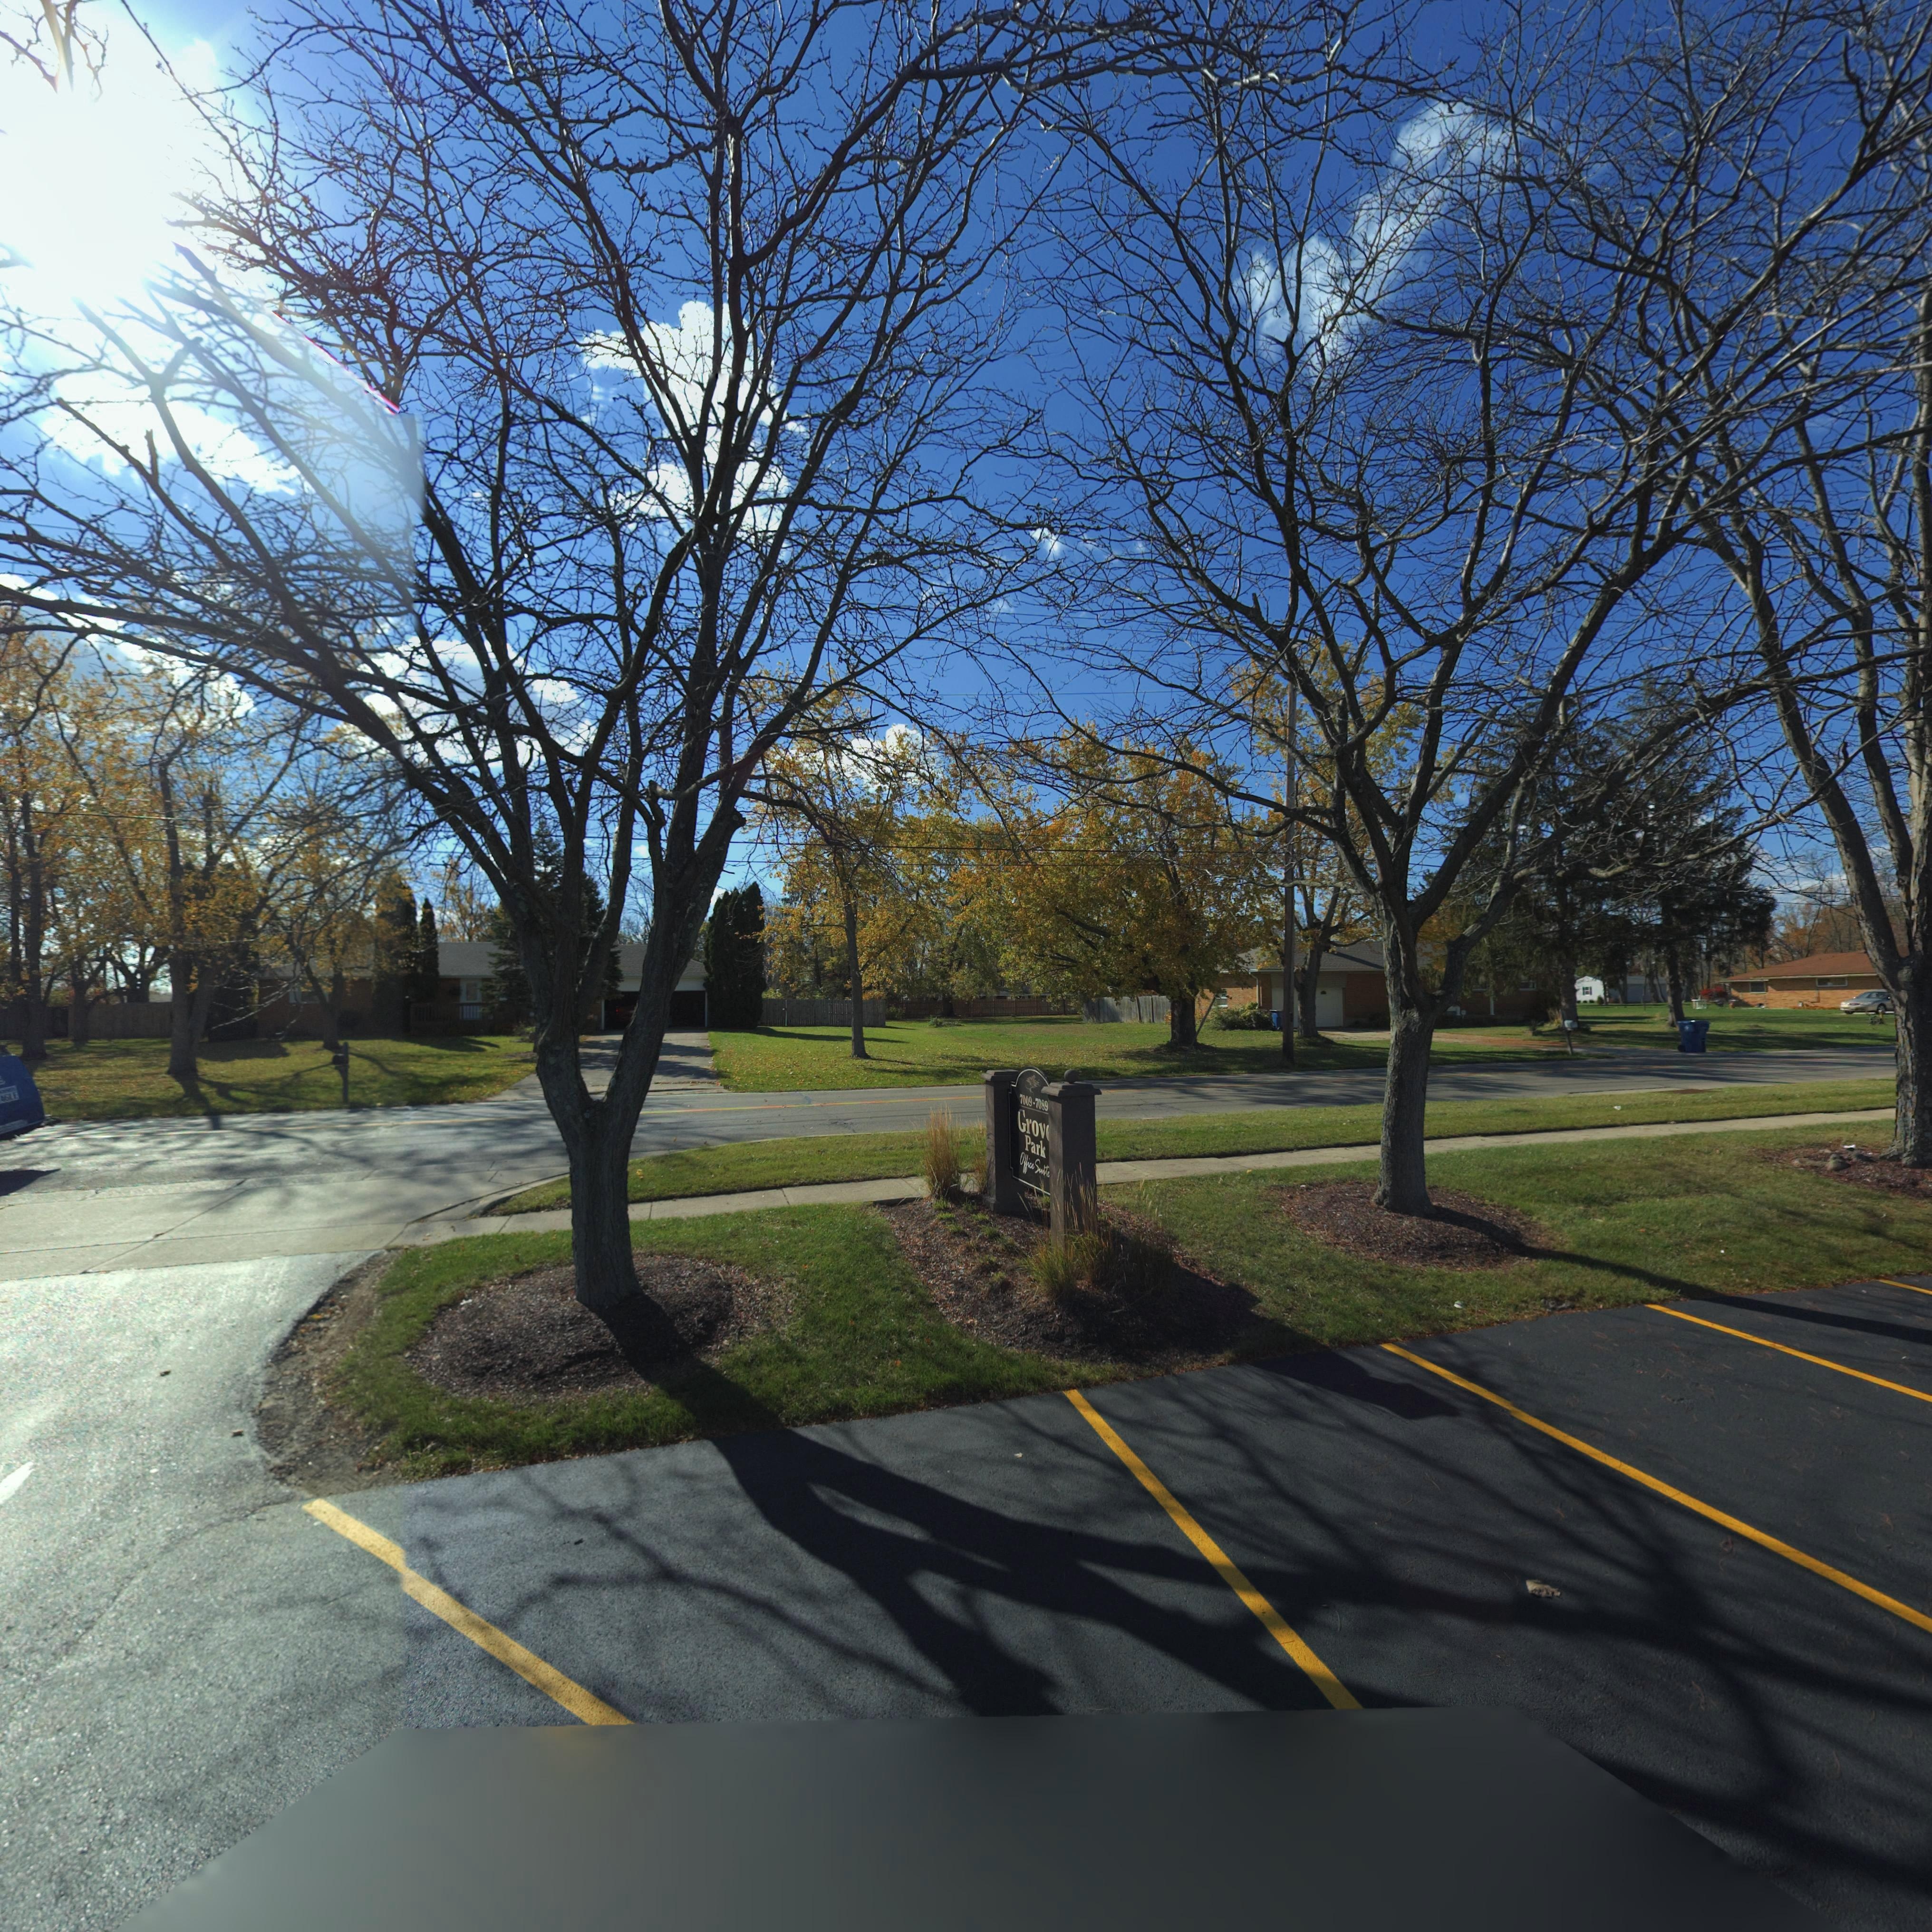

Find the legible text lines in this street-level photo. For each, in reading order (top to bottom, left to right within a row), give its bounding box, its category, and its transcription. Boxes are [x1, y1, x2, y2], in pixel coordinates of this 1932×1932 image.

[1019, 1092, 1033, 1108] StreetNumber: 7009
[1034, 1097, 1049, 1113] StreetNumber: 7089